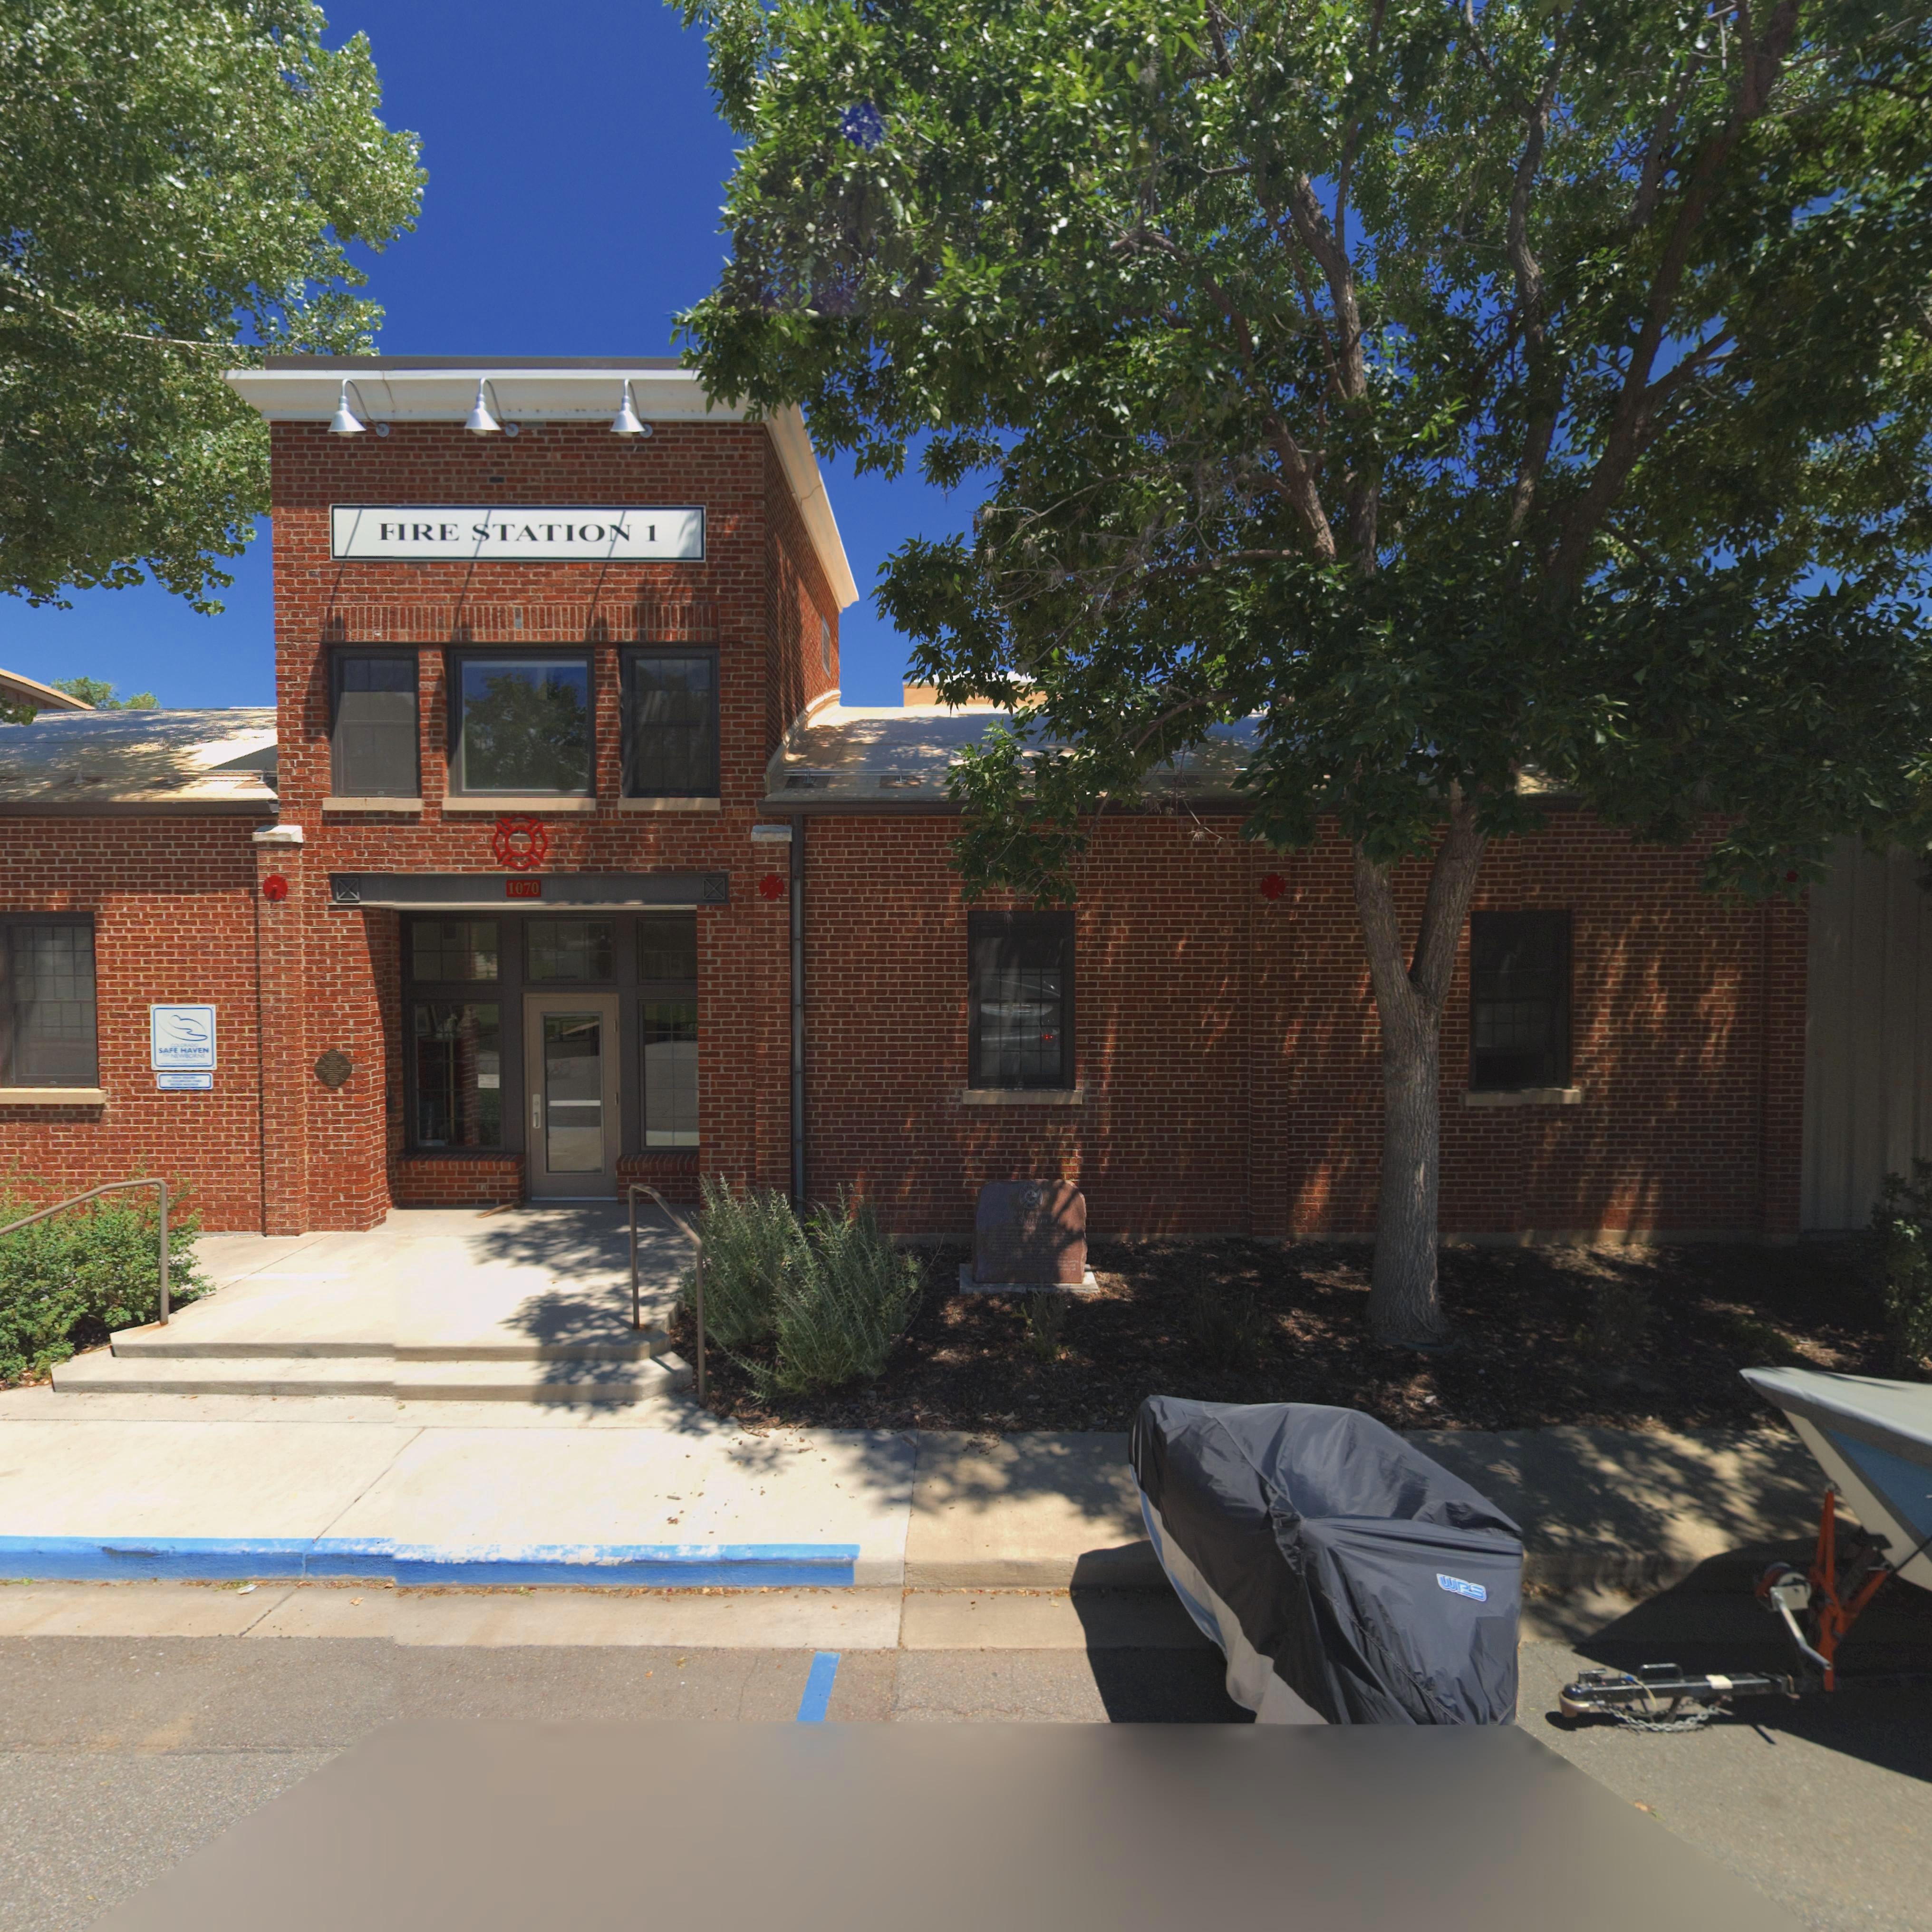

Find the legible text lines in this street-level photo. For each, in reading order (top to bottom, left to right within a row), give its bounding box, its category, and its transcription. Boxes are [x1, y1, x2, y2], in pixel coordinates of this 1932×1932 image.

[377, 522, 659, 542] BusinessName: FIRE STATION 1
[508, 881, 540, 894] StreetNumber: 1070
[999, 1216, 1061, 1224] BusinessName: Fire Station 1